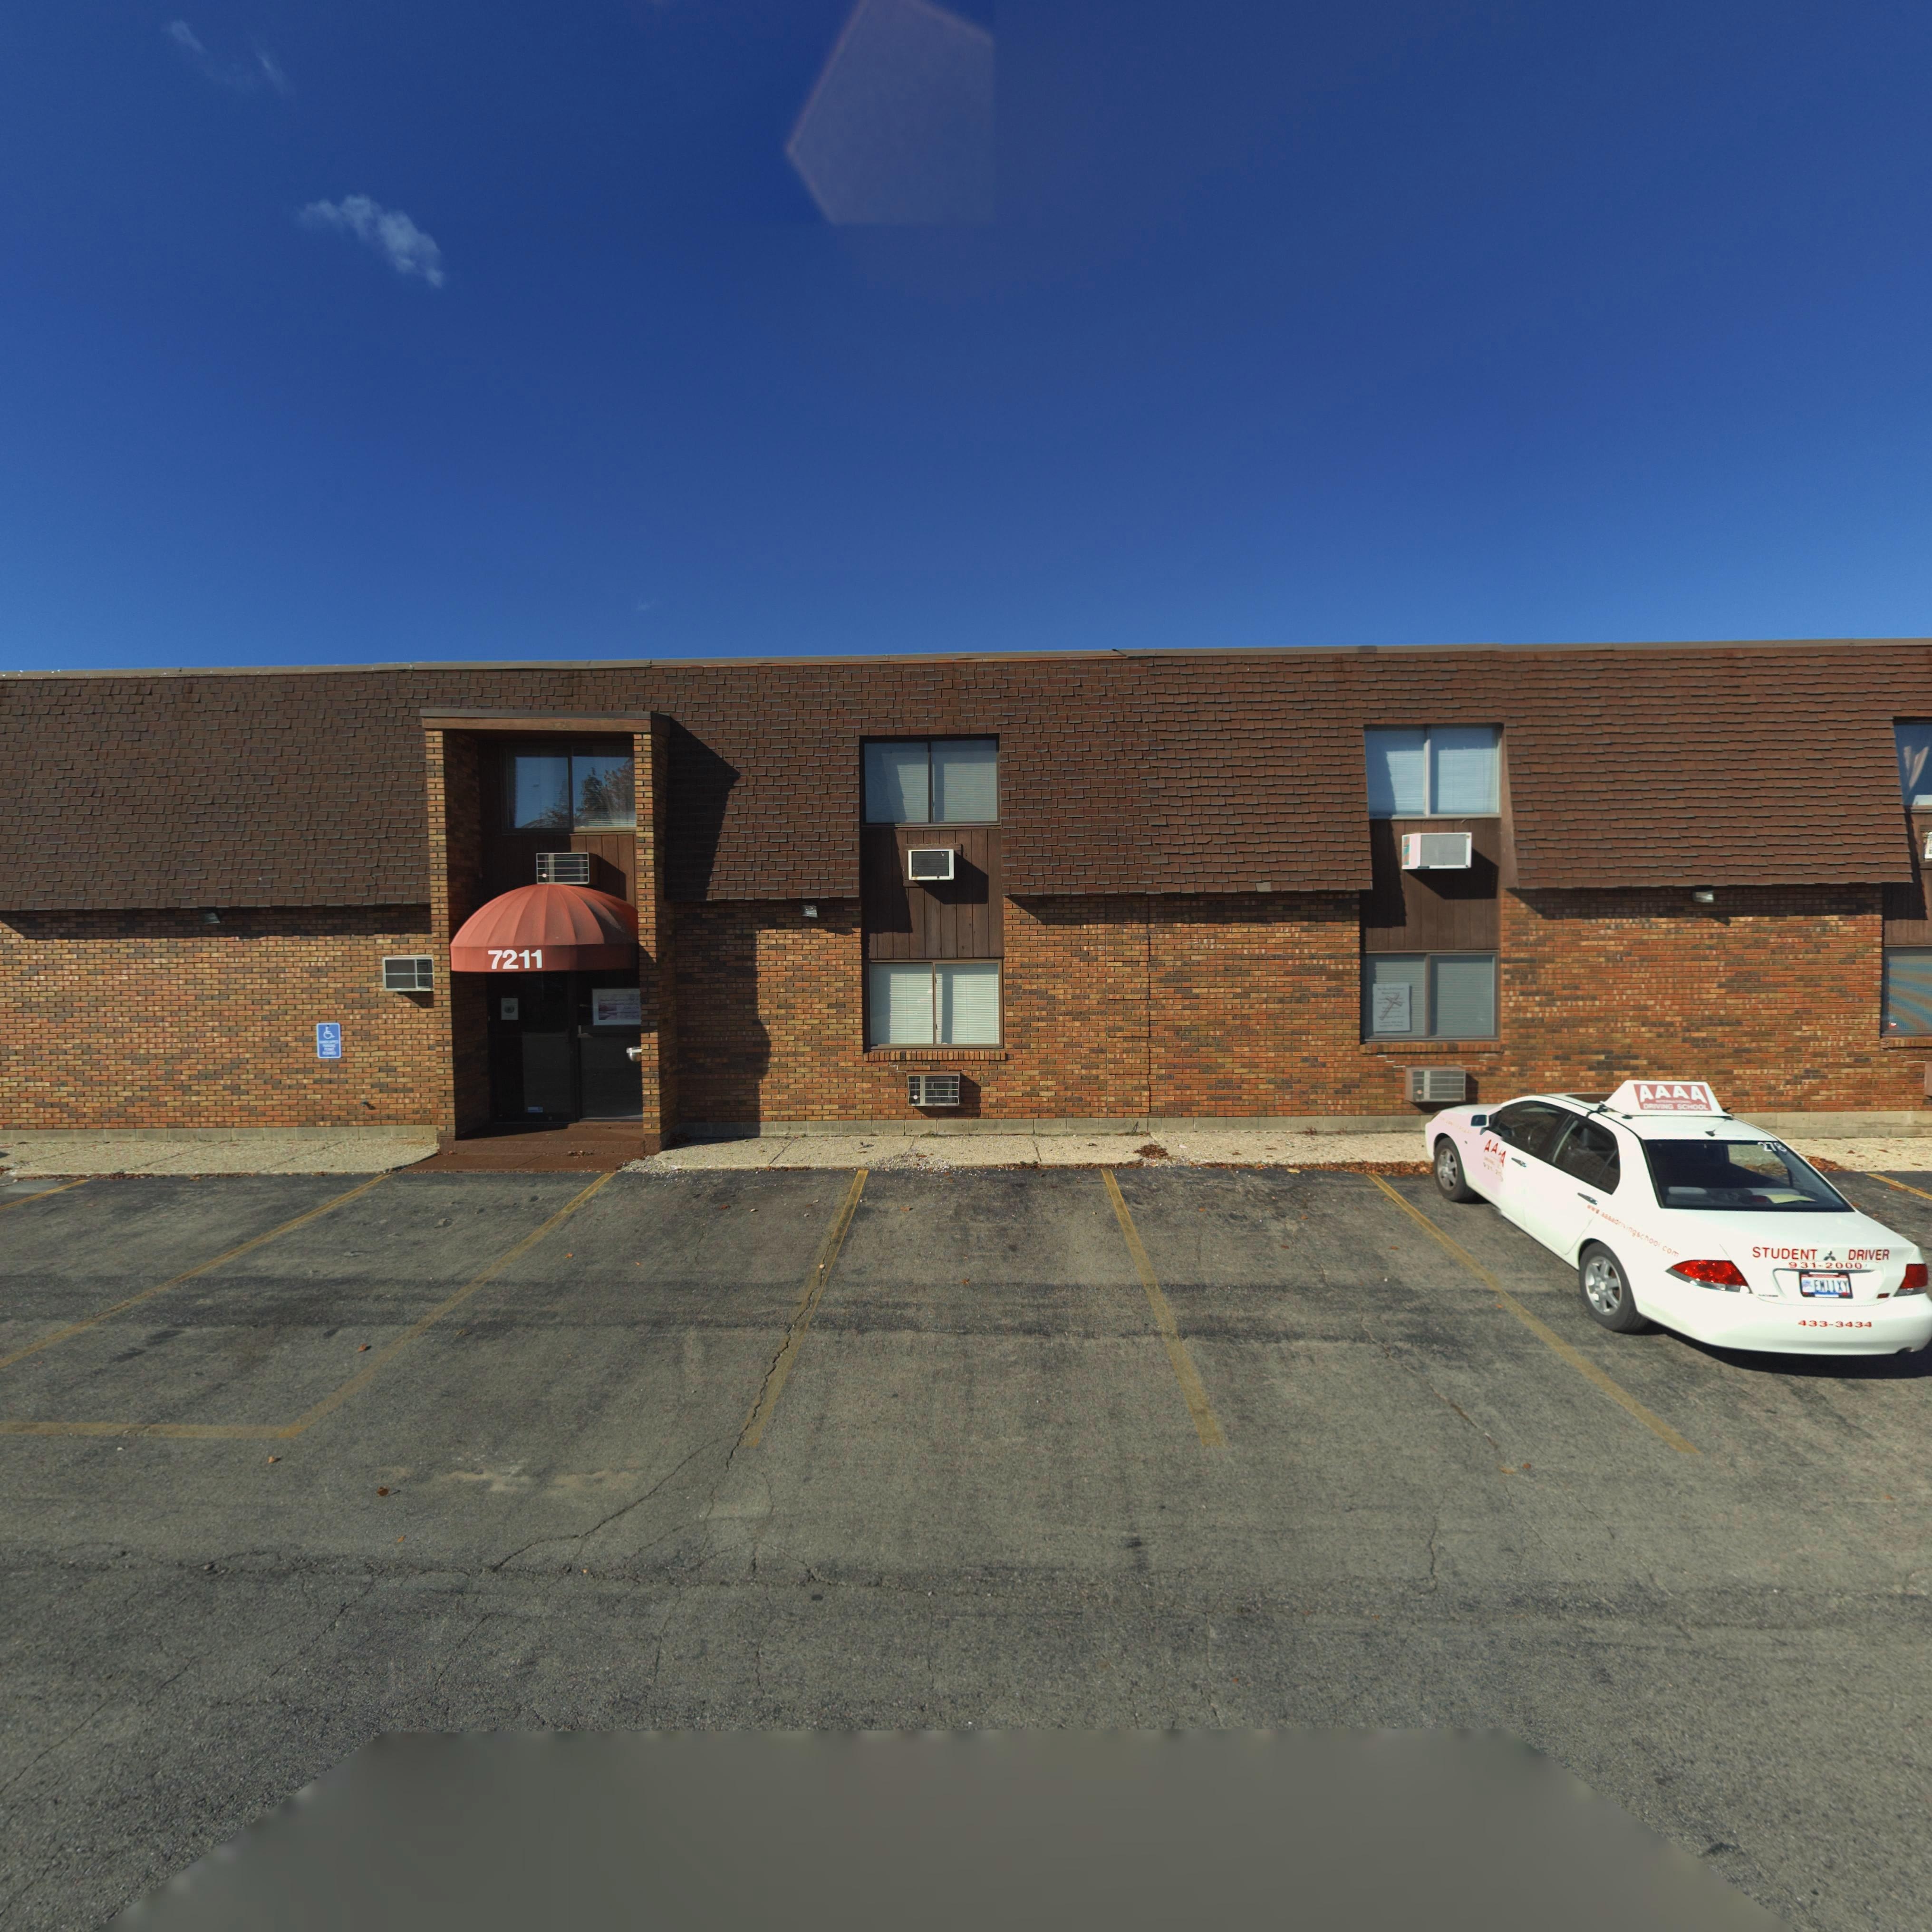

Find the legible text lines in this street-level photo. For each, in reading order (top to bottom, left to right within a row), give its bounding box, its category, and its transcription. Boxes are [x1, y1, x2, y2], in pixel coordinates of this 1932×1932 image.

[487, 949, 543, 970] StreetNumber: 7211